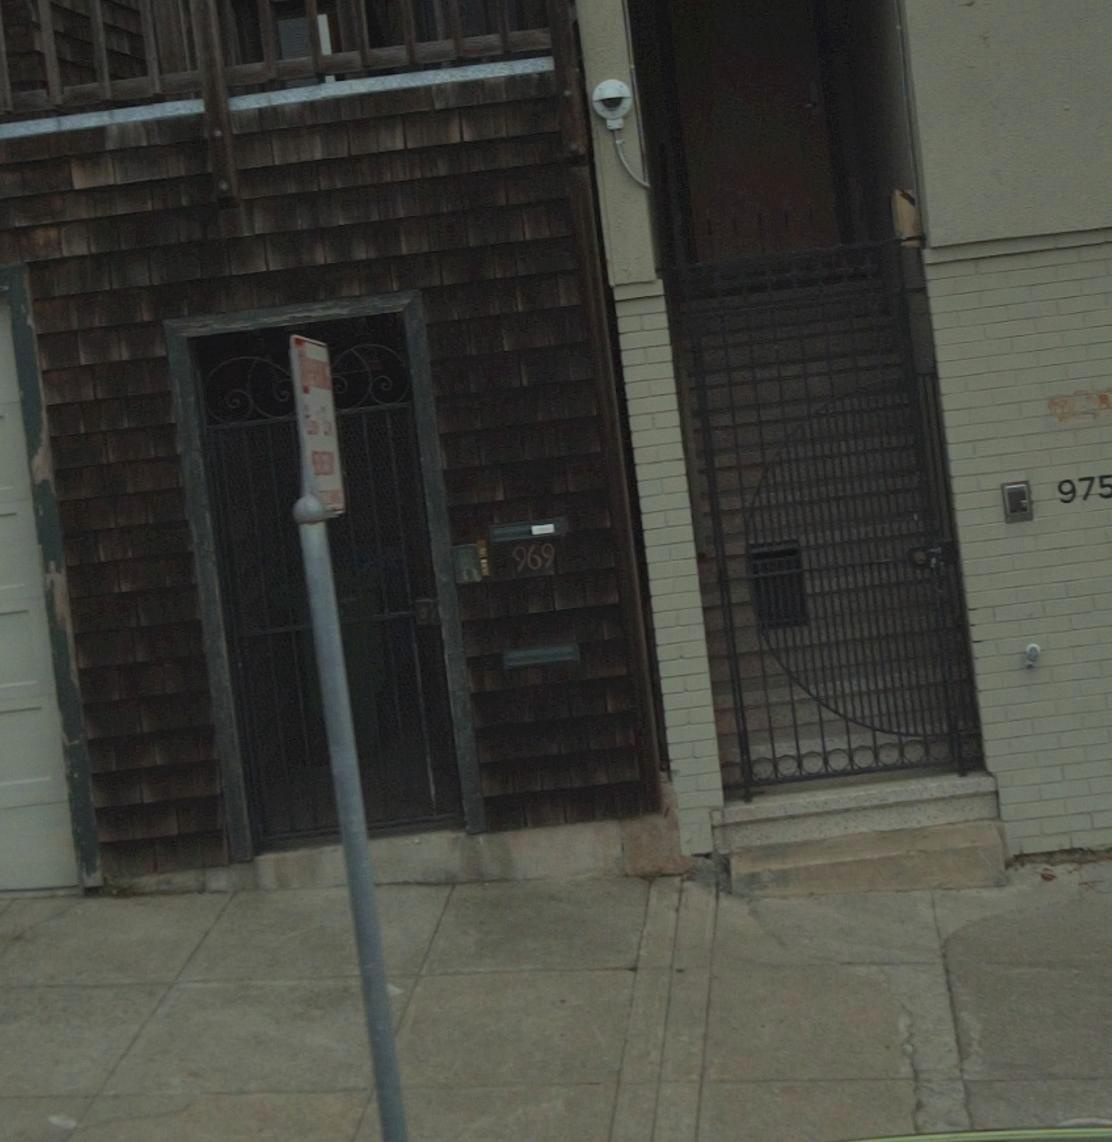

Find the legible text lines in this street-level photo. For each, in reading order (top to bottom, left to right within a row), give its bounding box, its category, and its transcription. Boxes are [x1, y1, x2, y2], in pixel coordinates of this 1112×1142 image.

[1057, 473, 1112, 505] StreetNumber: 975
[511, 541, 558, 575] StreetNumber: 969